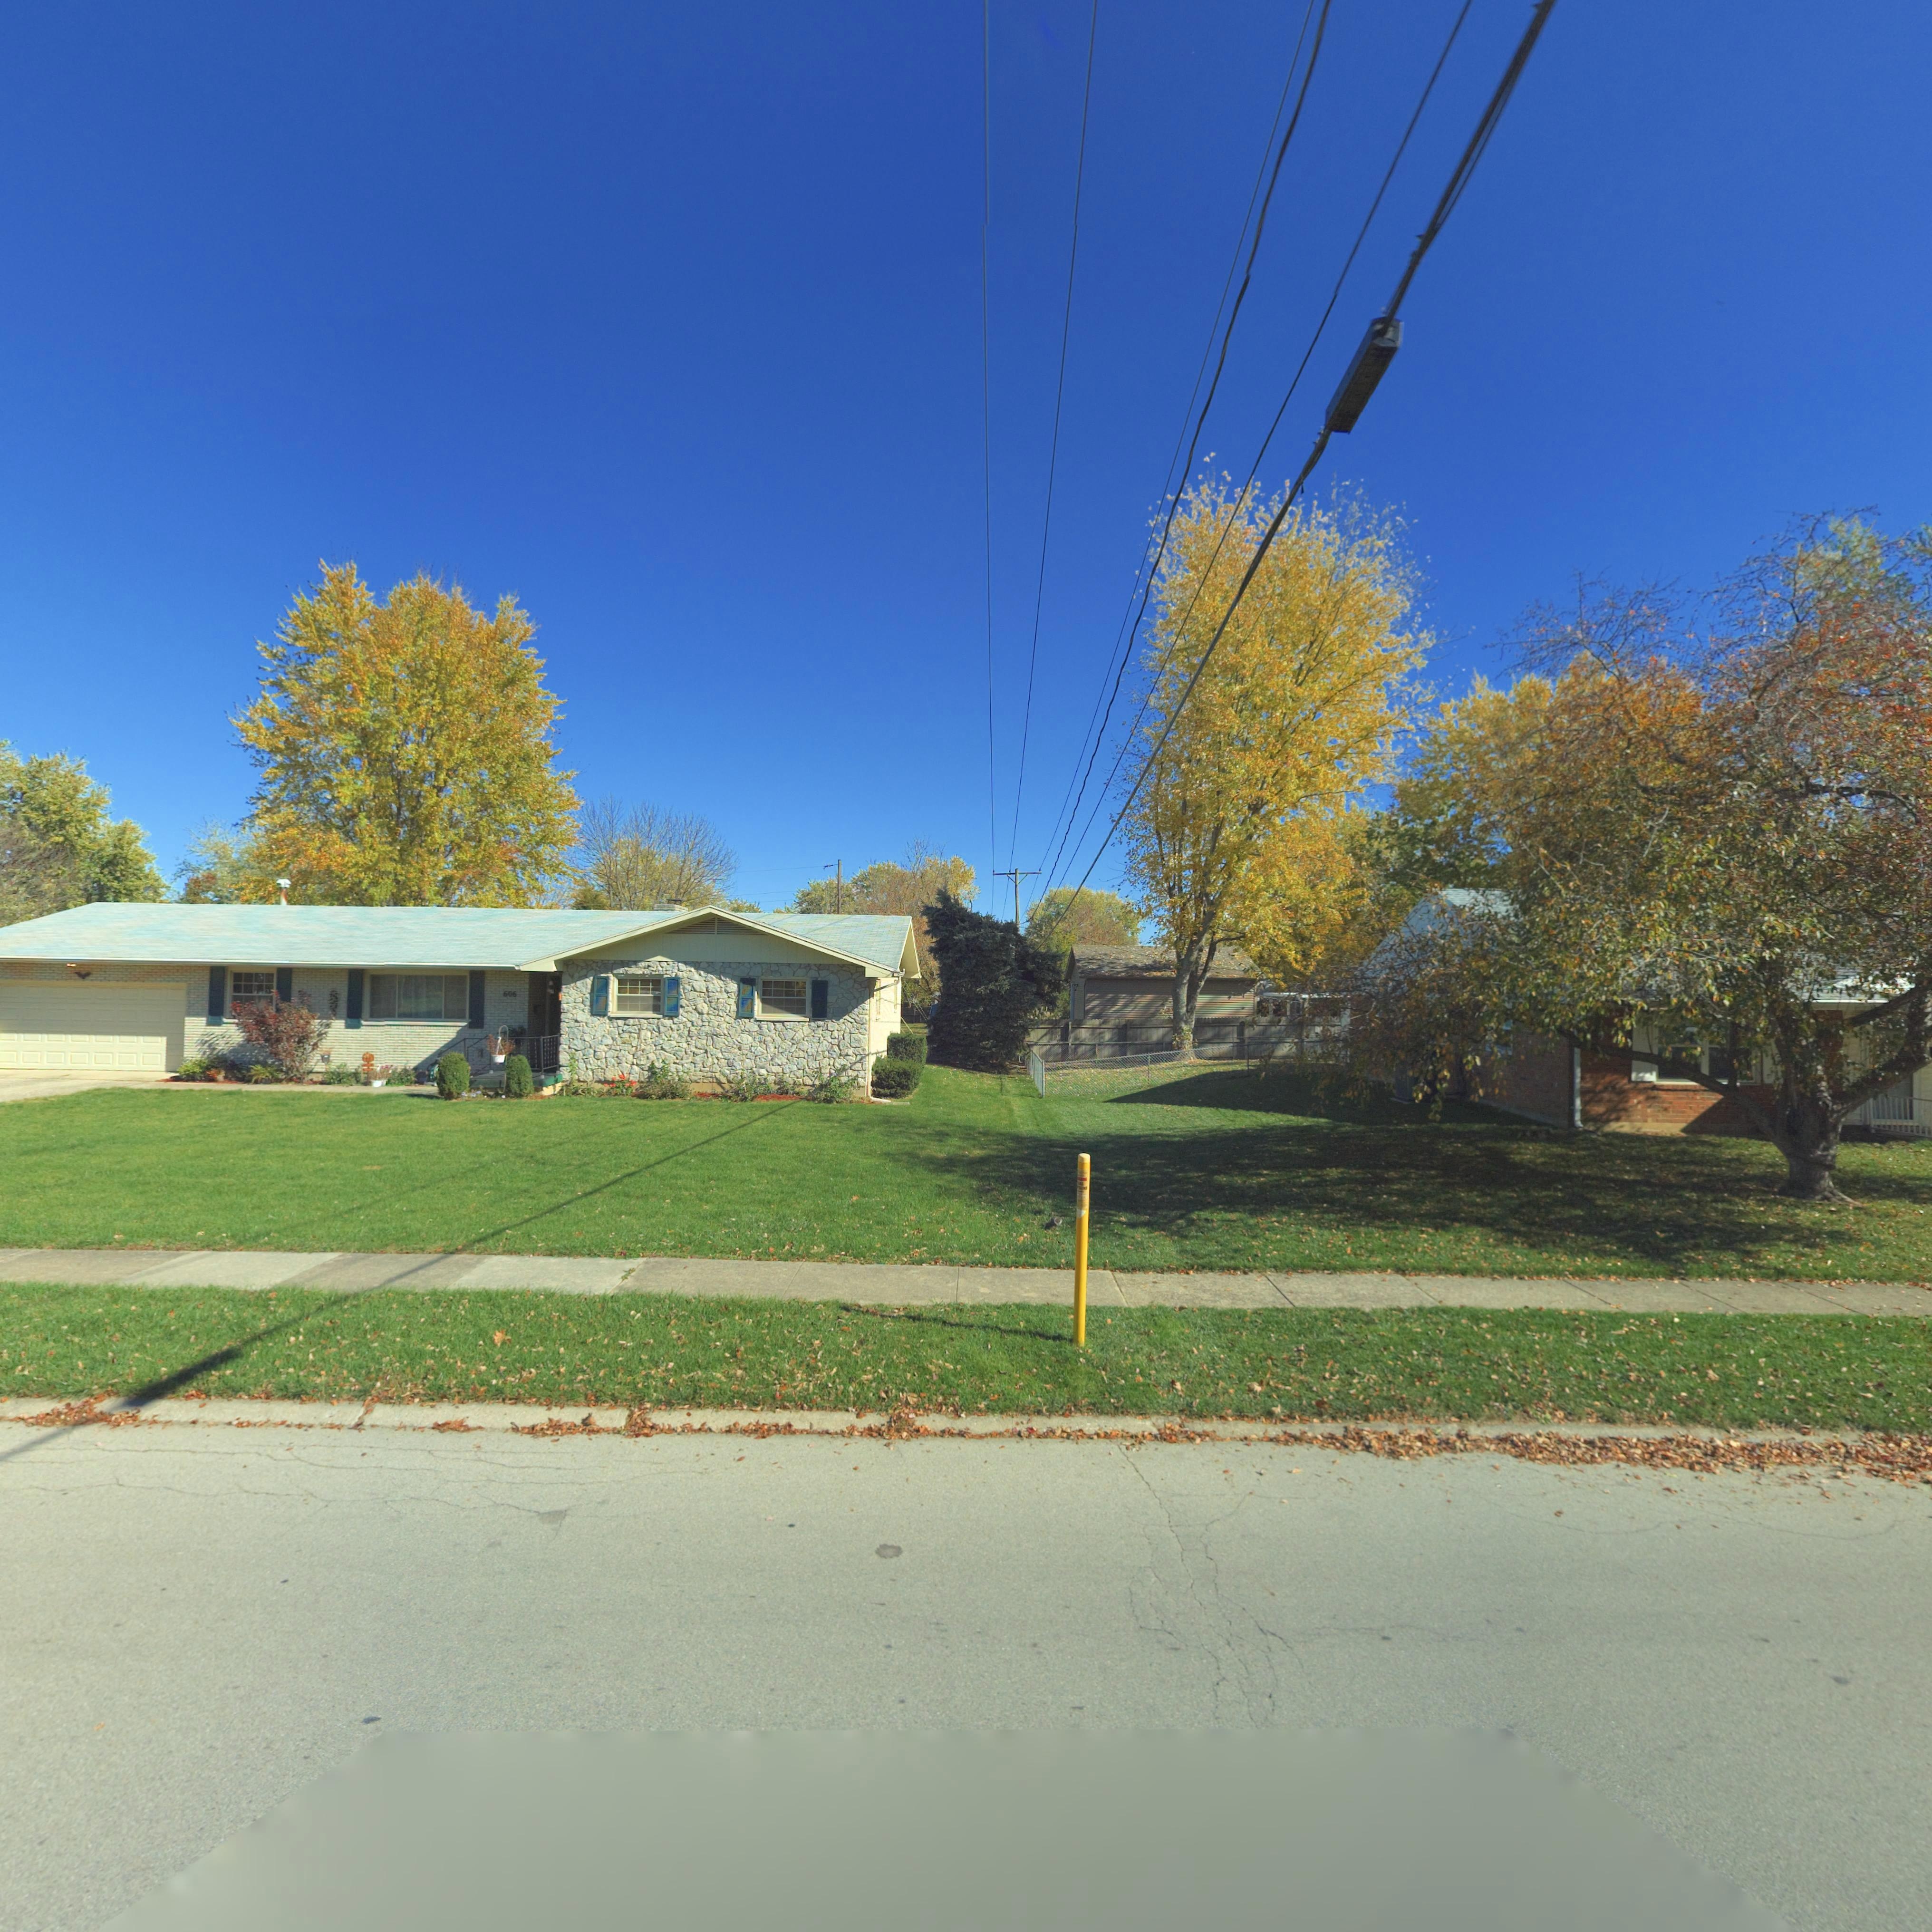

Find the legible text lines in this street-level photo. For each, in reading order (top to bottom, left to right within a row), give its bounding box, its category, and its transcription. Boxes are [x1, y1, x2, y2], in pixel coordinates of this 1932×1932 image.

[503, 990, 517, 998] StreetNumber: 606